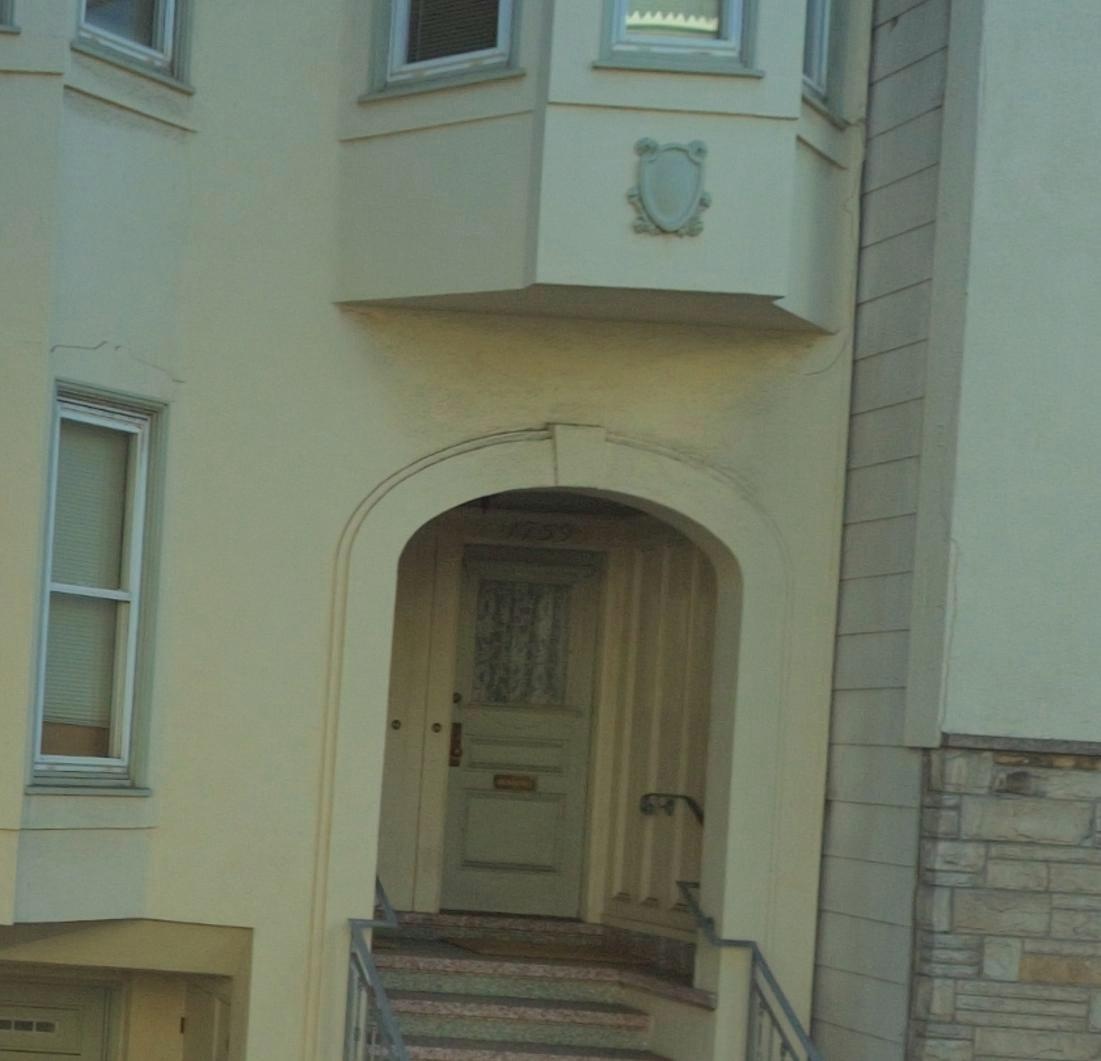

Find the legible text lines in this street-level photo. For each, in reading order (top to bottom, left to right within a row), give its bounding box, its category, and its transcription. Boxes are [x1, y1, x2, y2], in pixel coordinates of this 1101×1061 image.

[502, 520, 577, 544] StreetNumber: 1759